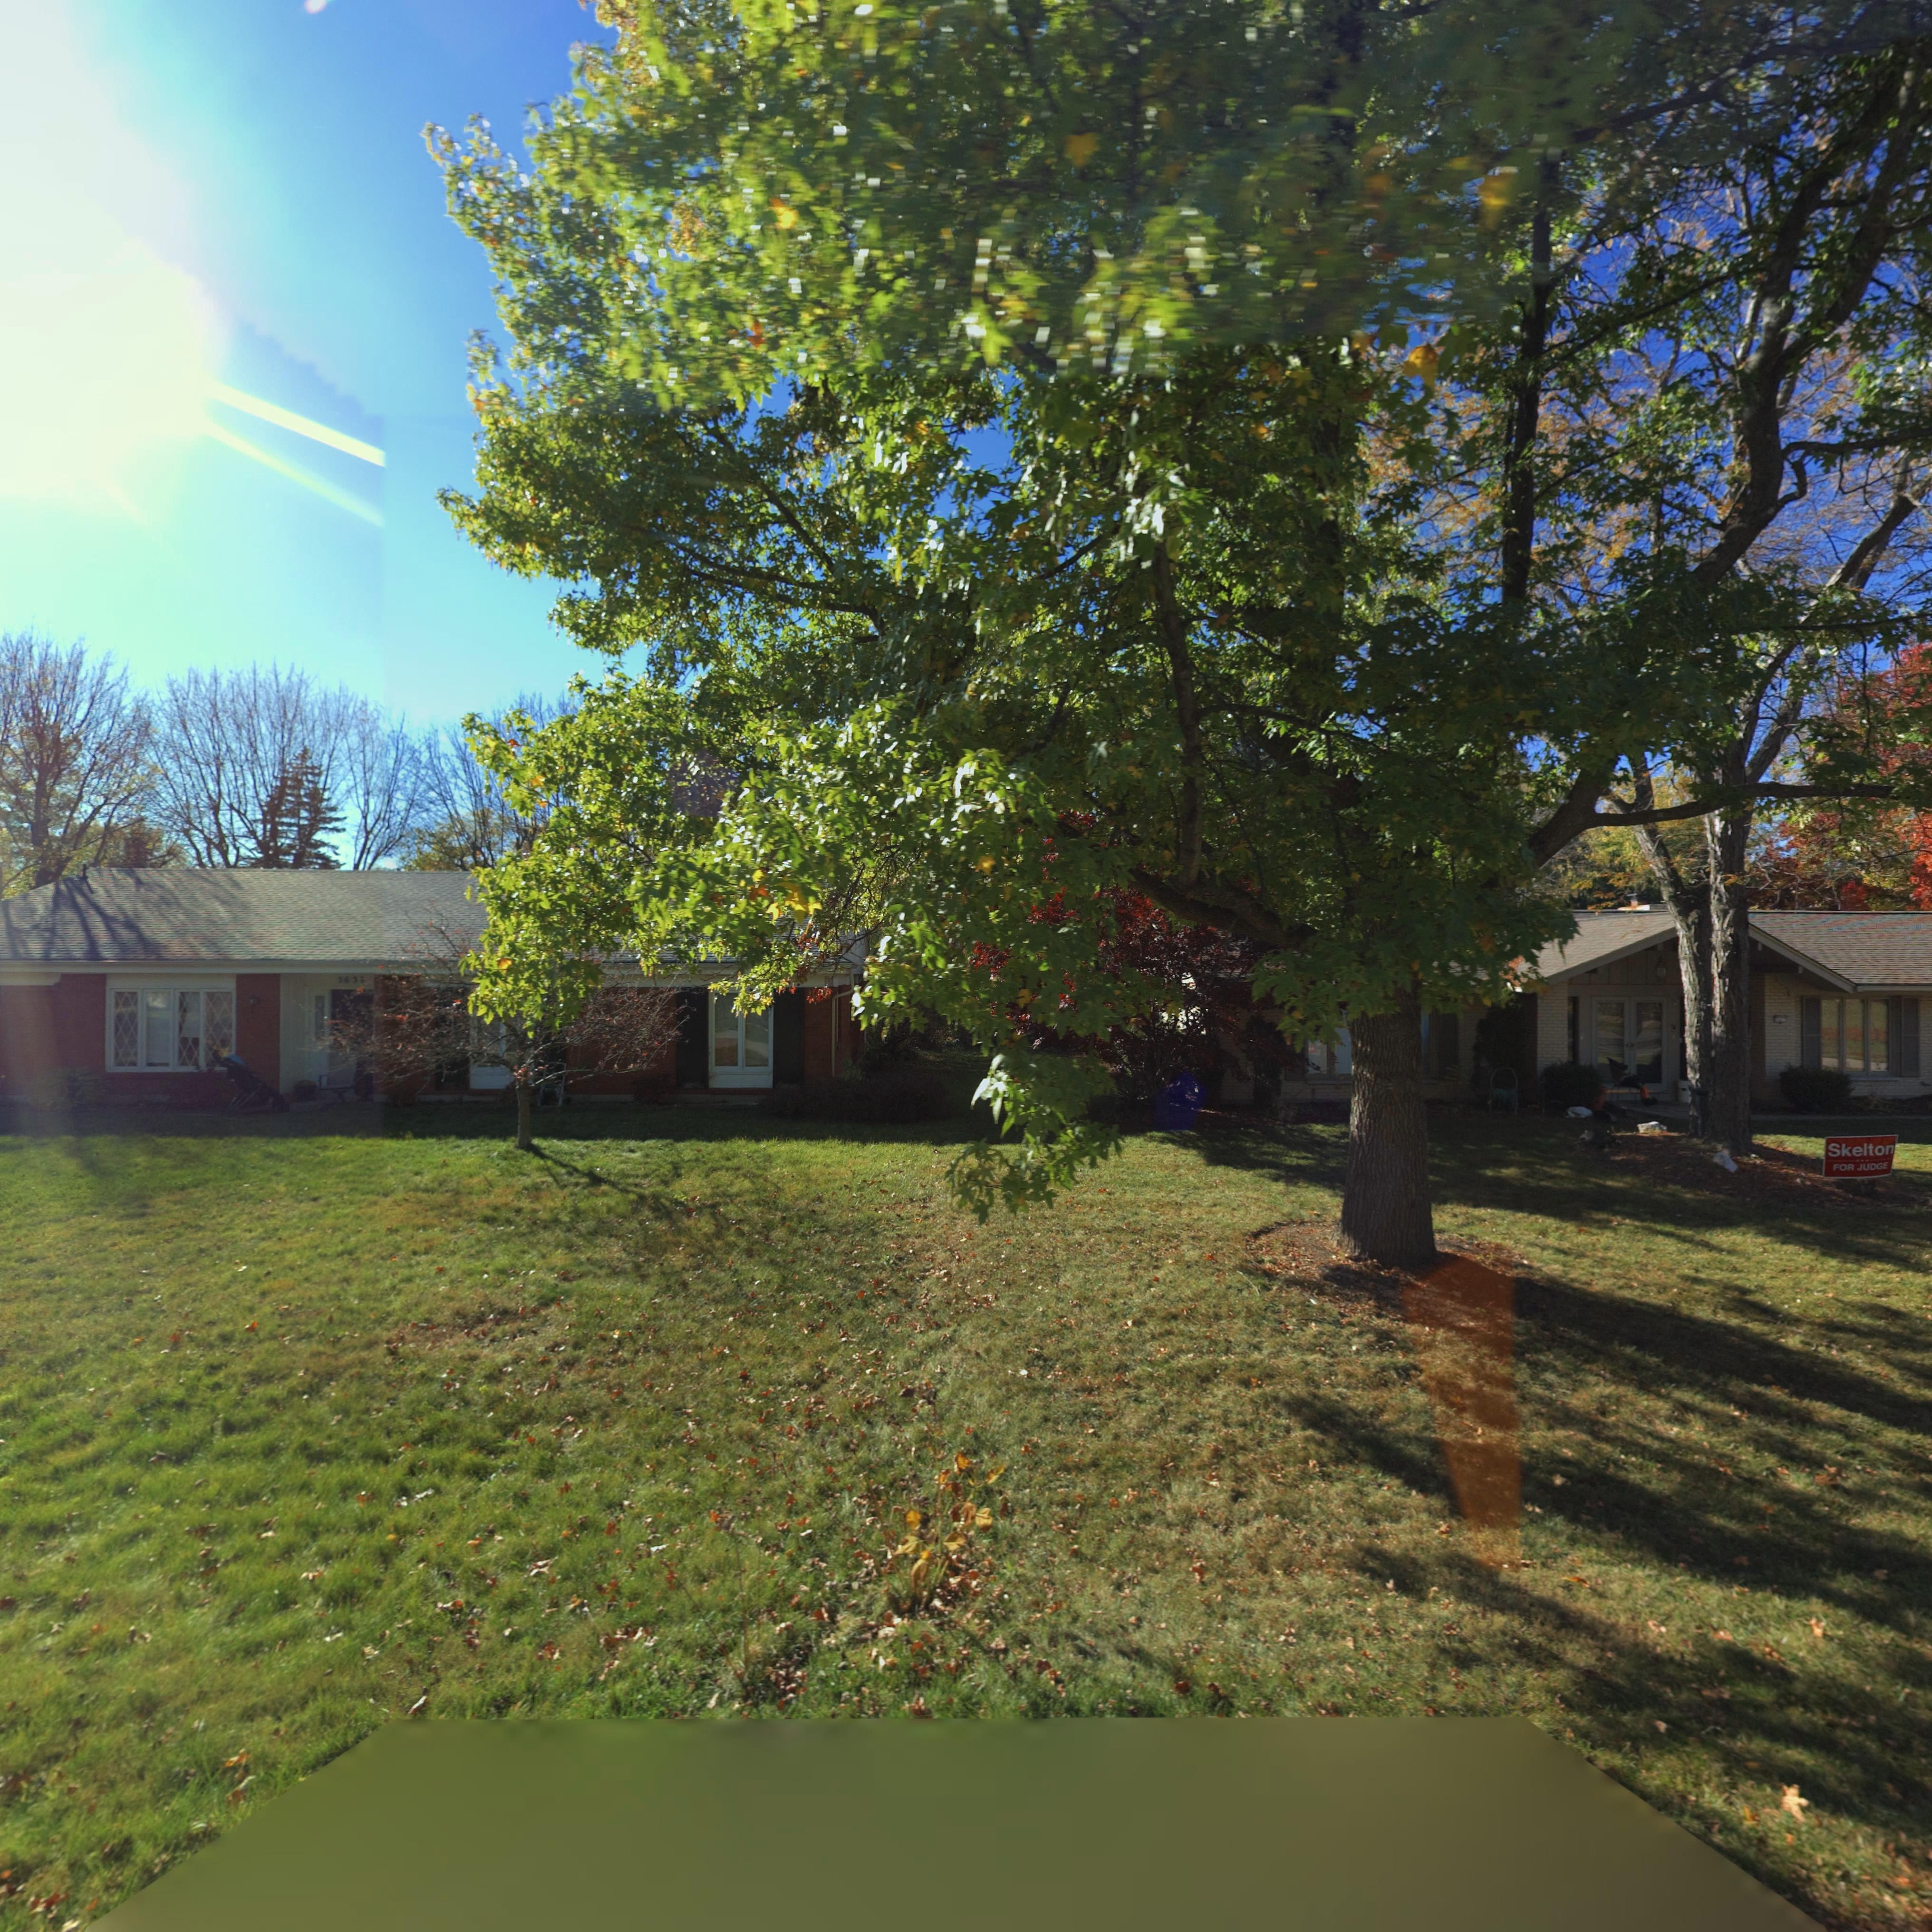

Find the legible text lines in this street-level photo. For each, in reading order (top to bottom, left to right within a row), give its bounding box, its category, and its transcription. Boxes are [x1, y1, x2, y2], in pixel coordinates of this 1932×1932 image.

[336, 975, 365, 983] StreetNumber: 5639
[1826, 1142, 1895, 1158] None: Skelton
[1832, 1161, 1889, 1172] None: FOR JUDGE